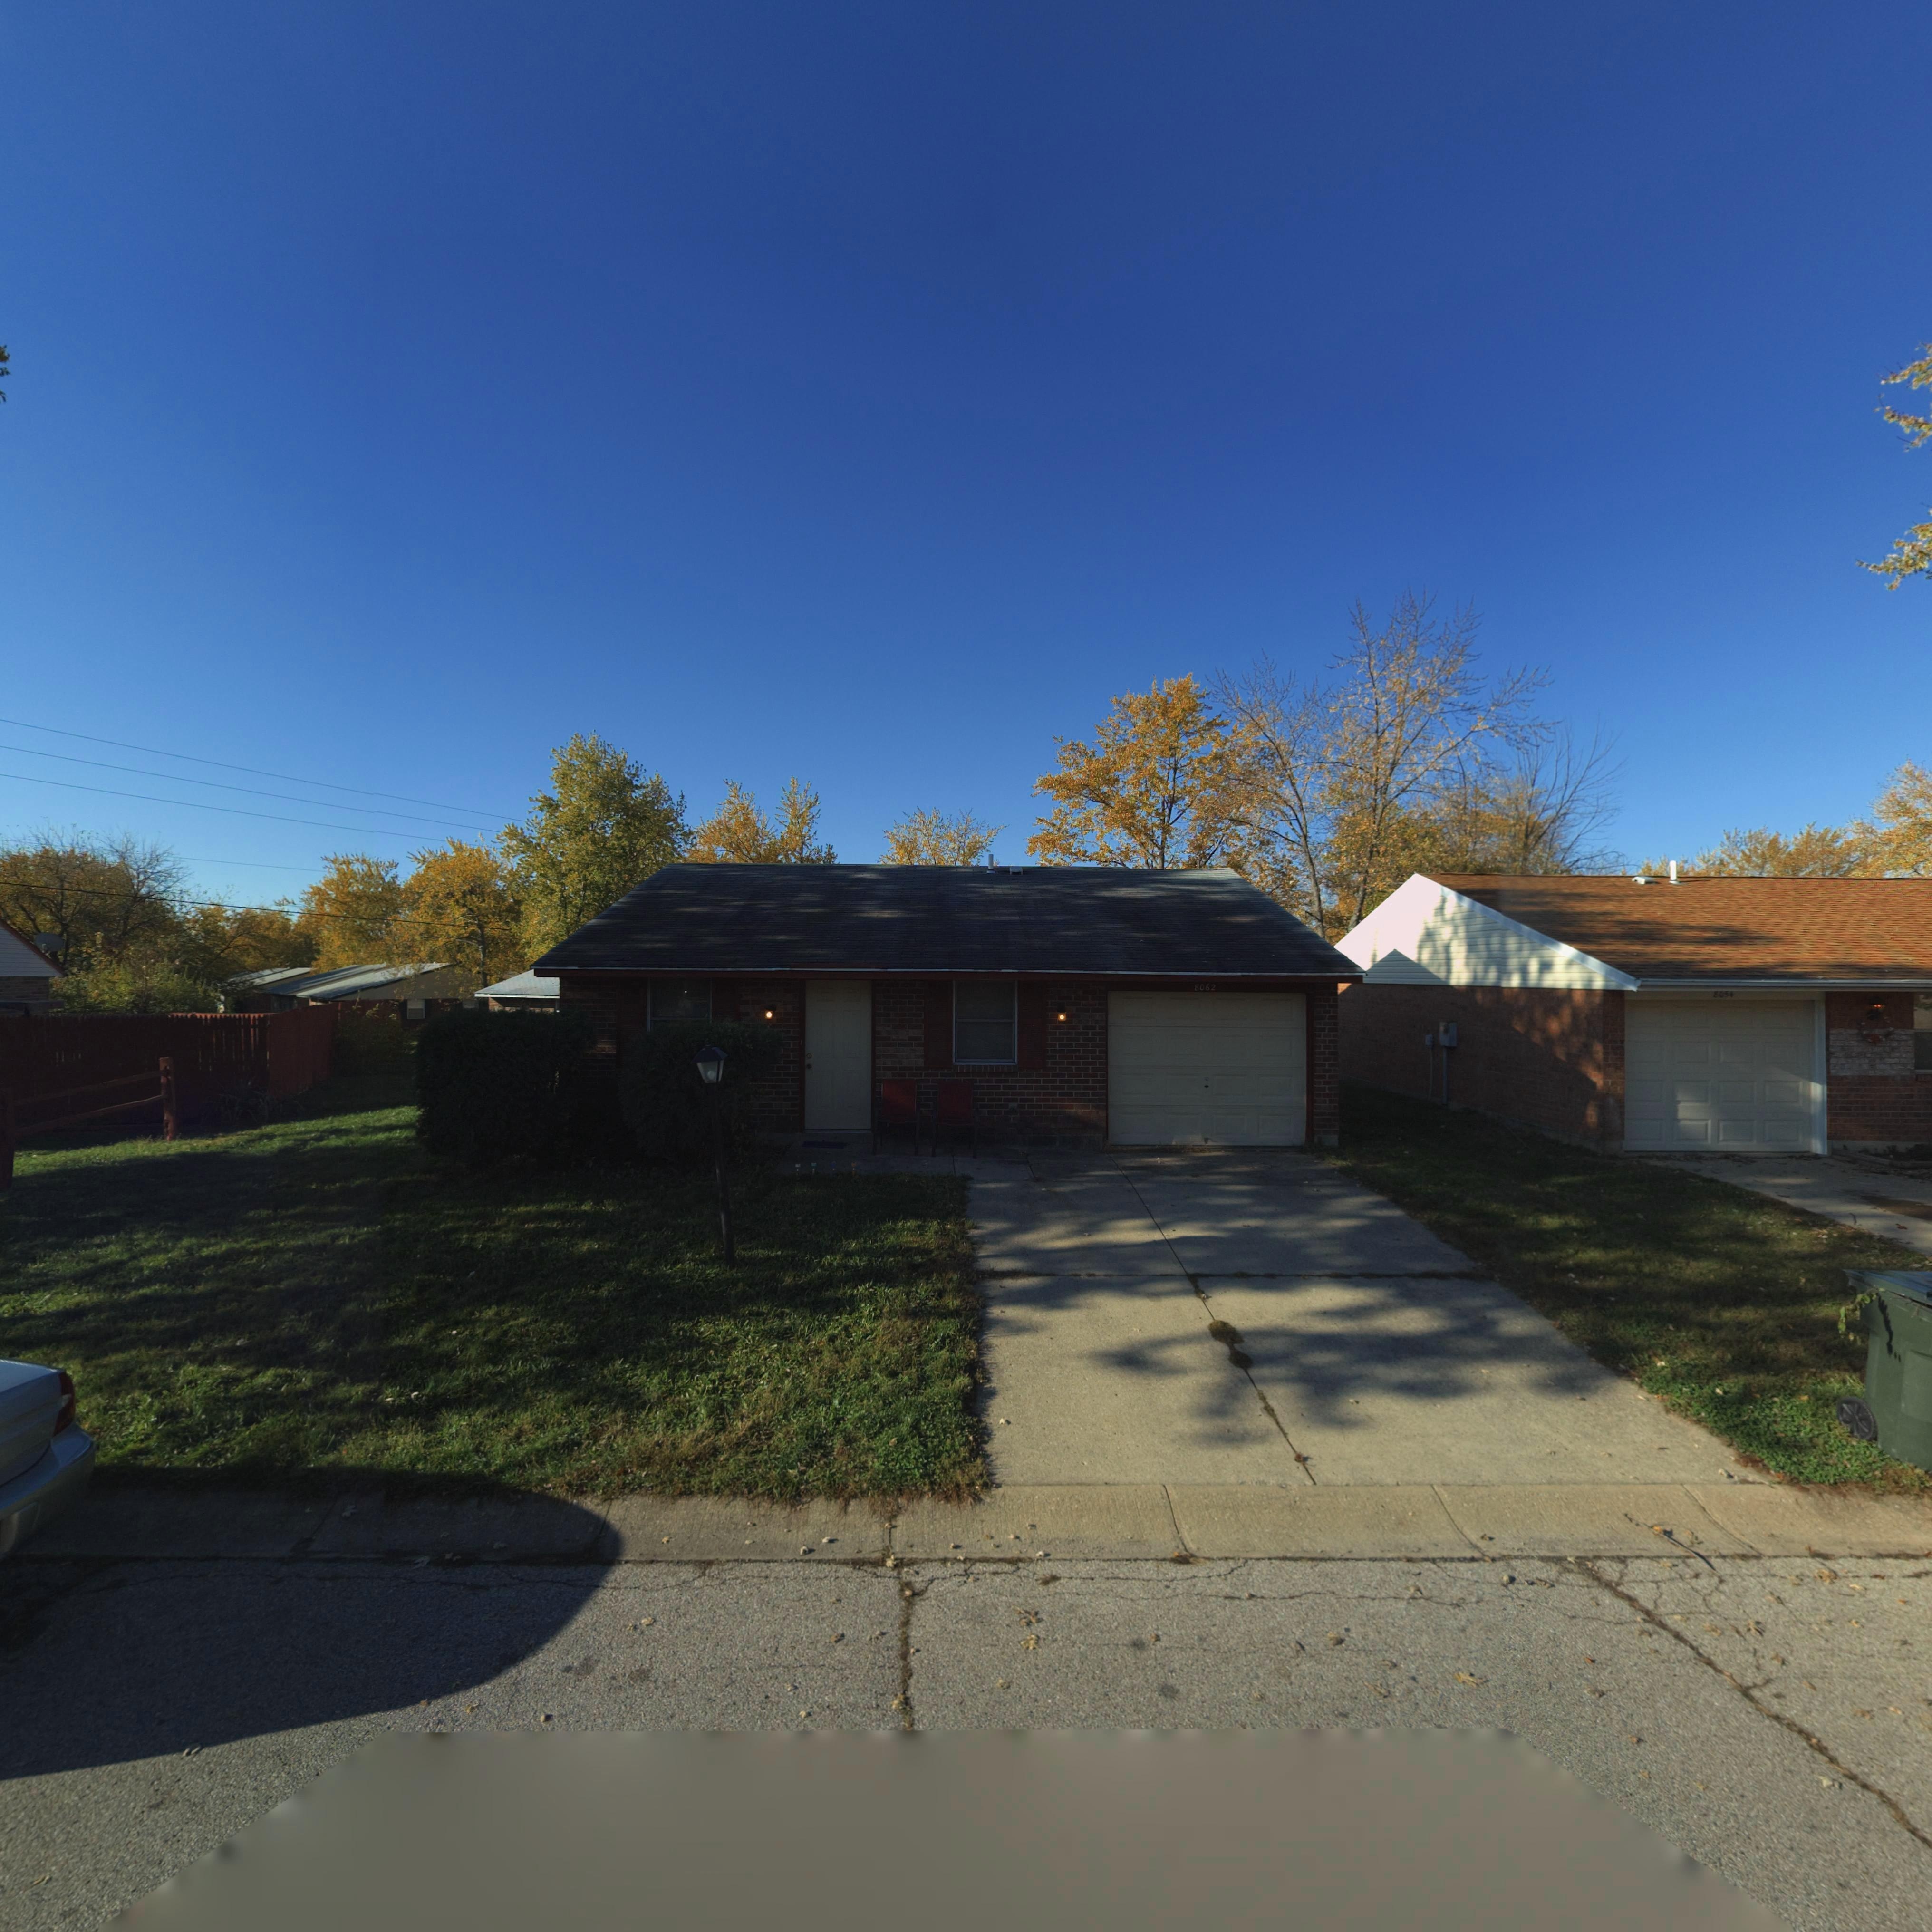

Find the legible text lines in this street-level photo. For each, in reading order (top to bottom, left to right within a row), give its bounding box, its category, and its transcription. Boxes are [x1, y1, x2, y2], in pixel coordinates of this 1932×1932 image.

[1193, 982, 1217, 992] StreetNumber: 8062
[1711, 990, 1735, 1000] StreetNumber: 8054